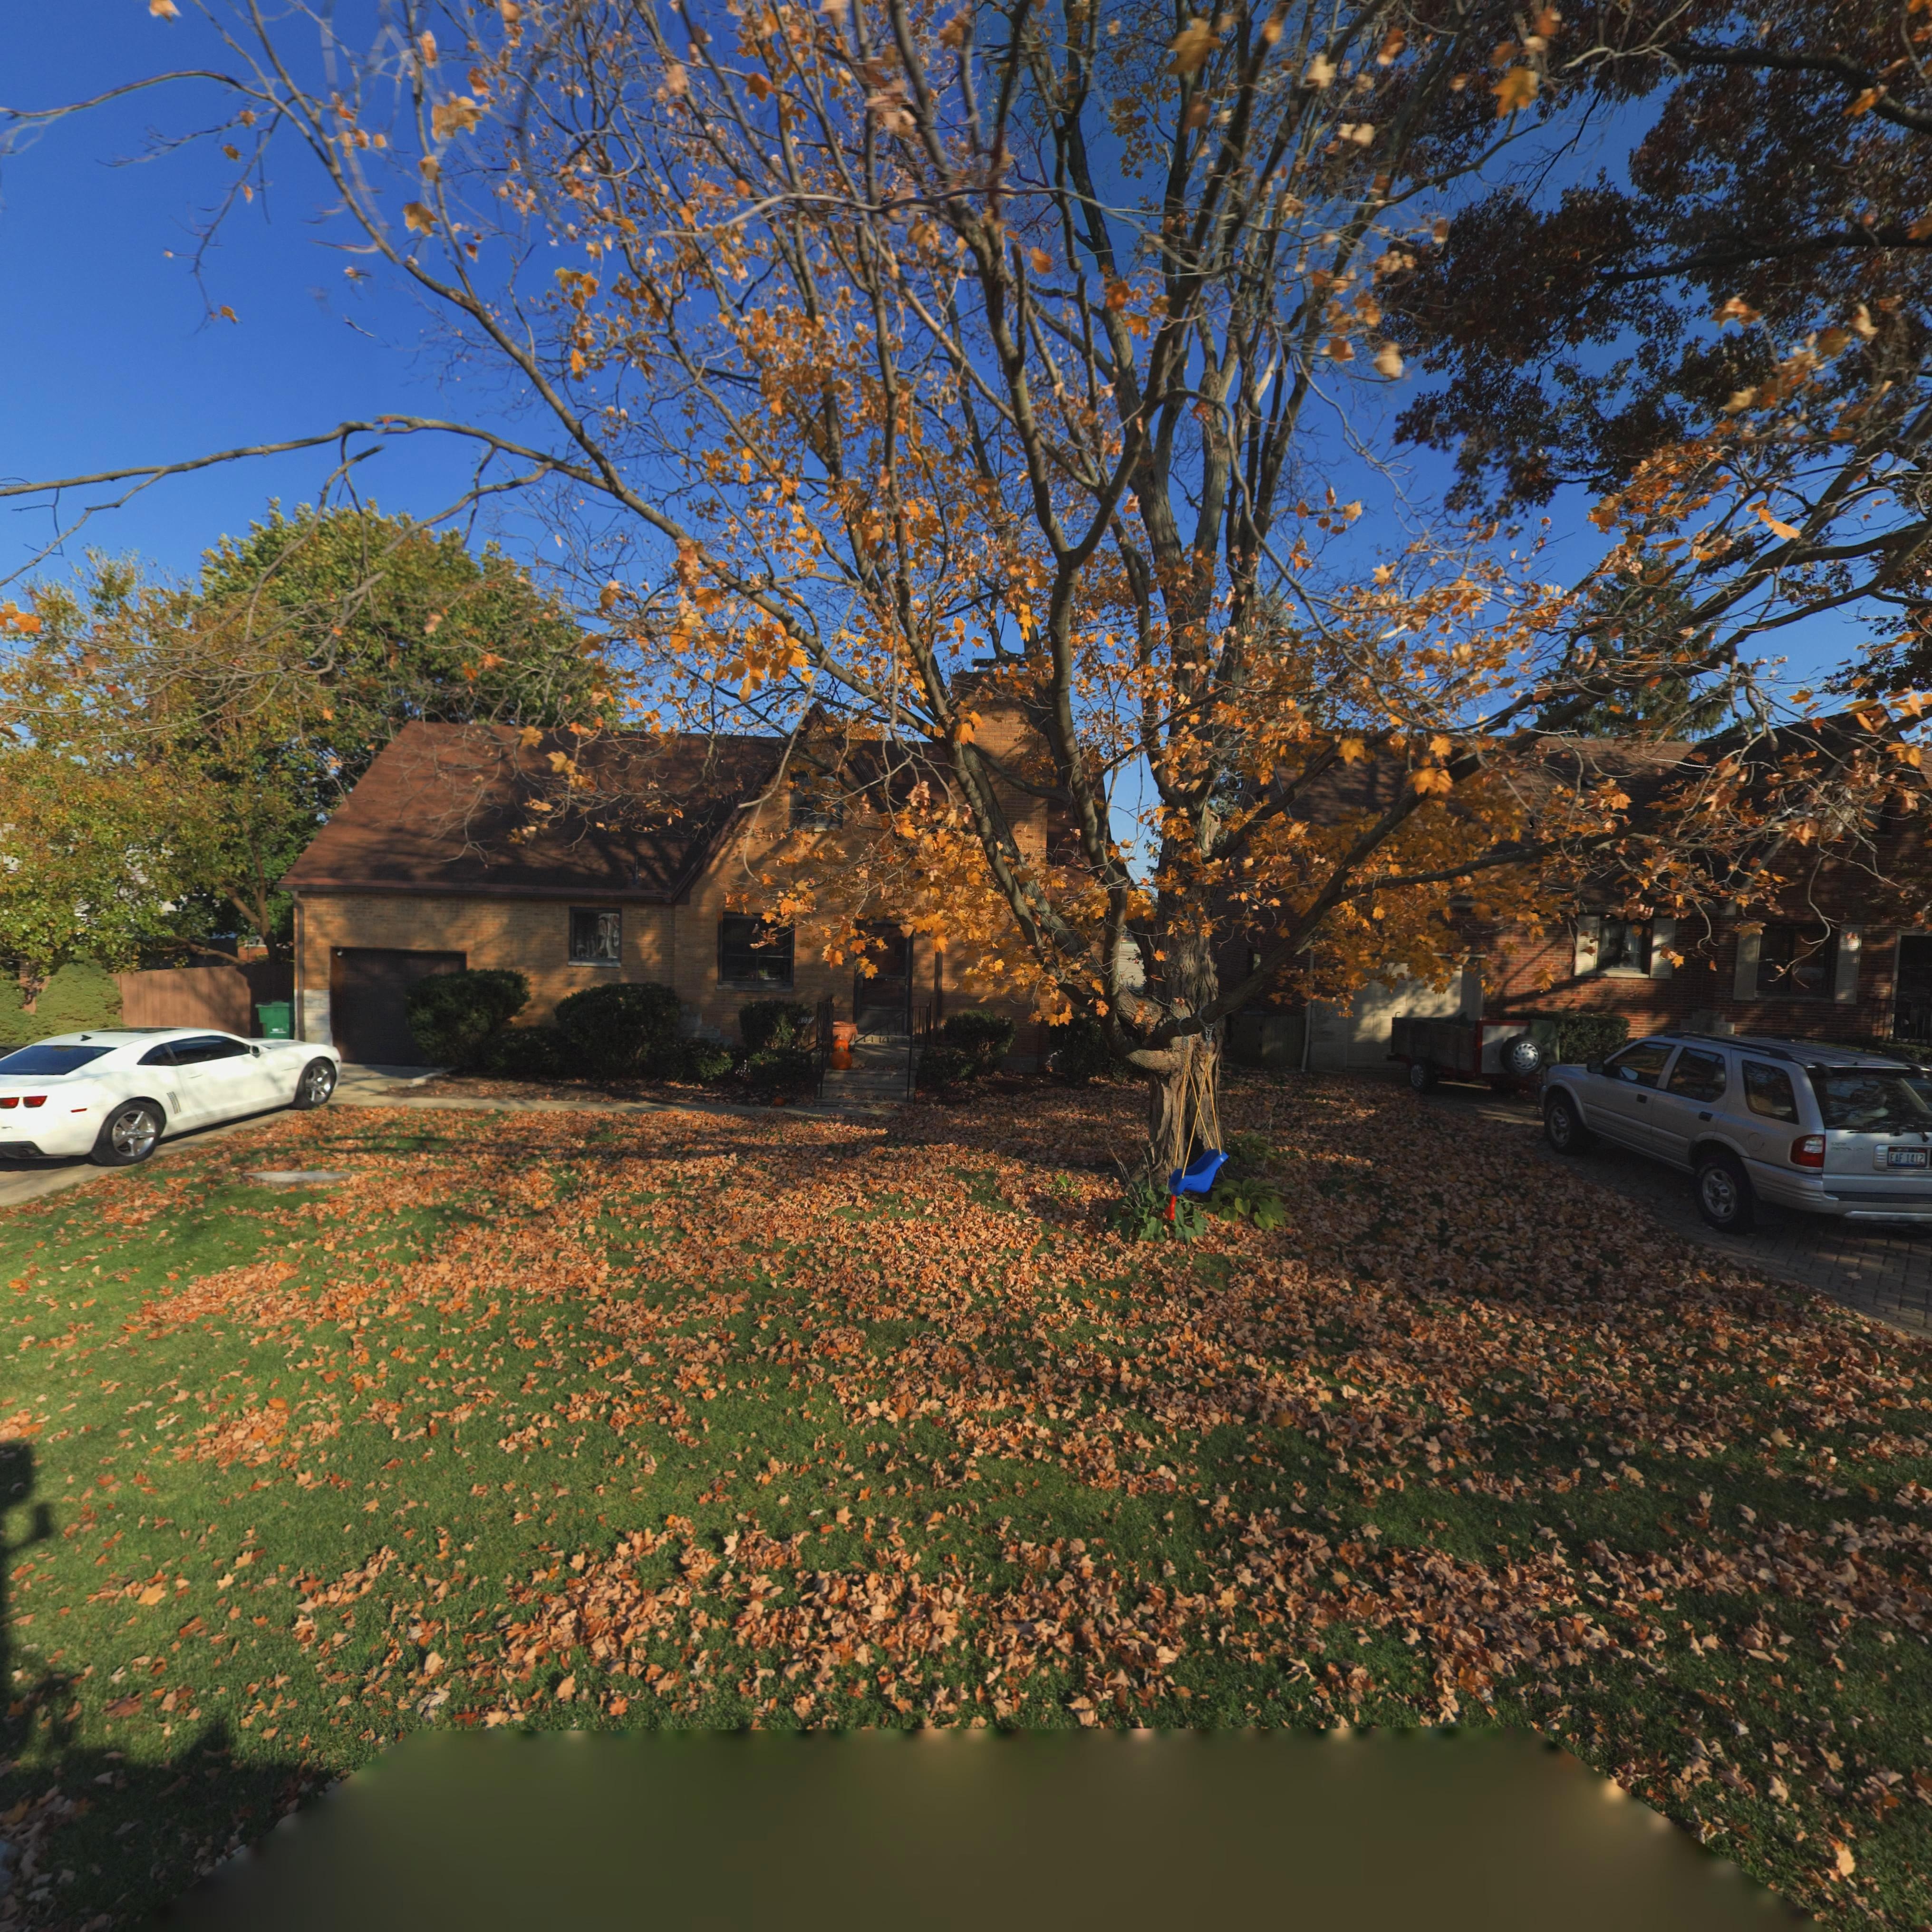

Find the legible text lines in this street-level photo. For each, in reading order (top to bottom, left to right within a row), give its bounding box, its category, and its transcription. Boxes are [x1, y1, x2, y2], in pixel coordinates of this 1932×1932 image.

[798, 1017, 814, 1024] StreetNumber: *030